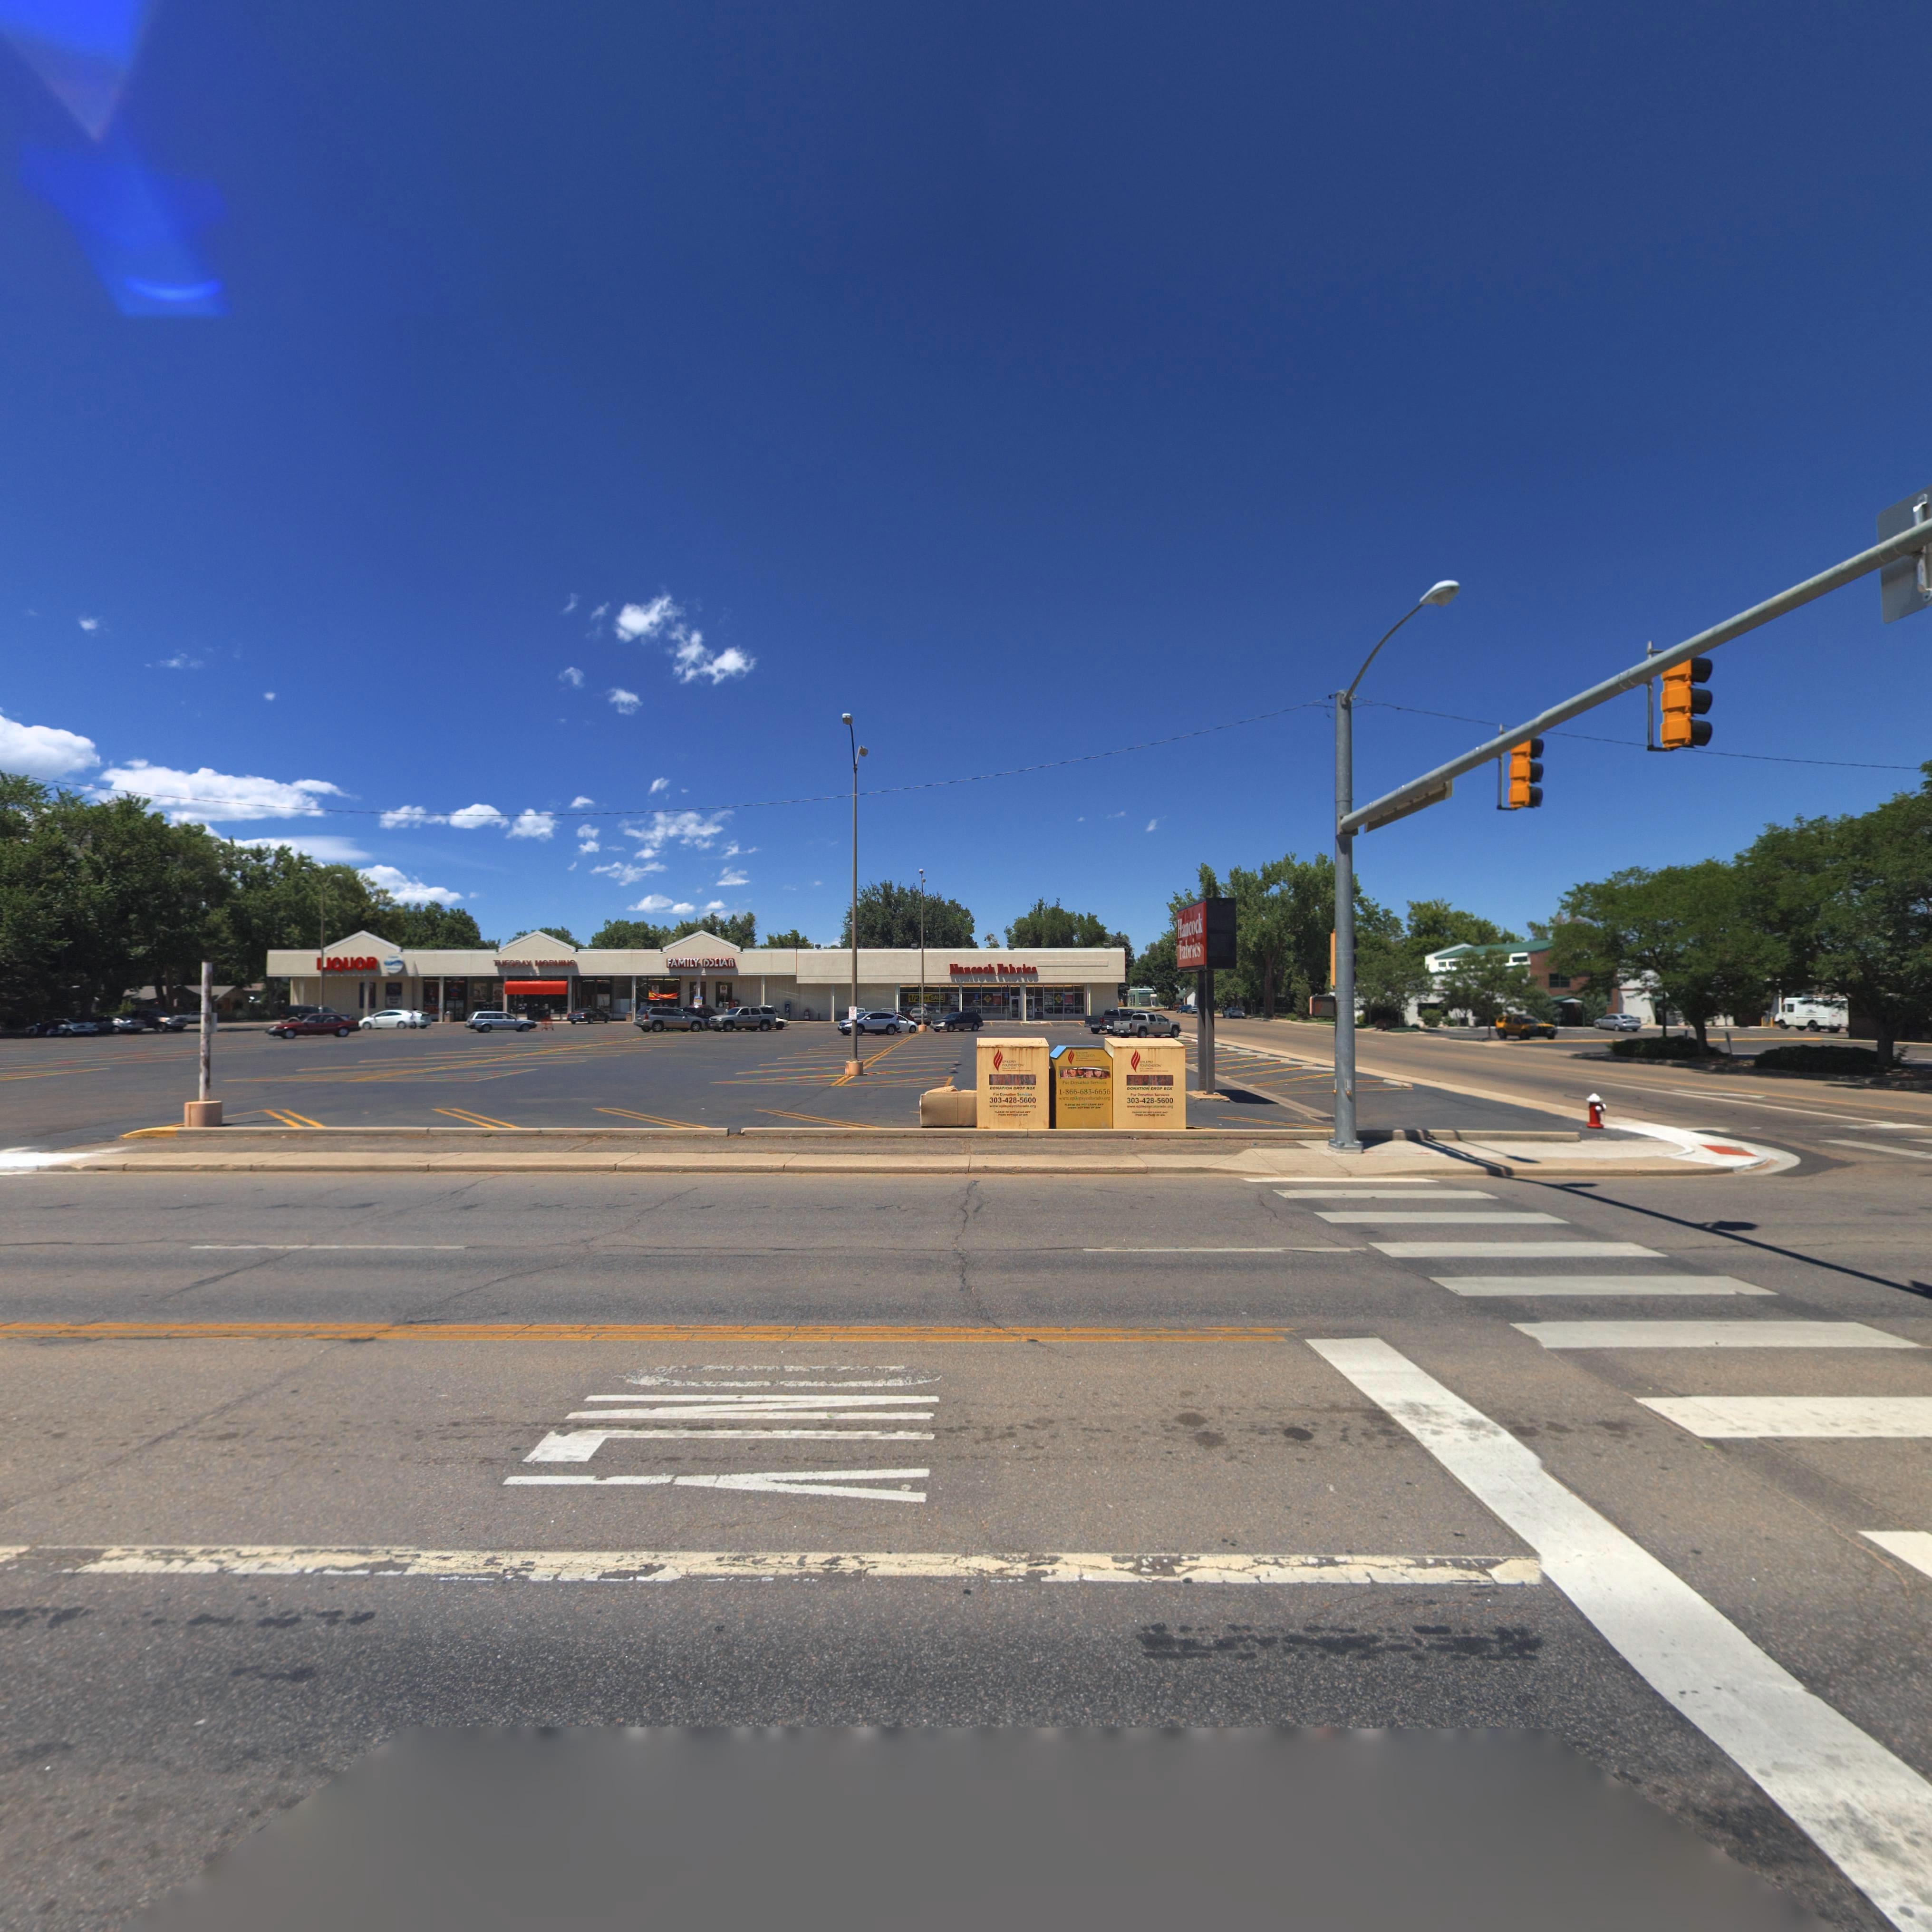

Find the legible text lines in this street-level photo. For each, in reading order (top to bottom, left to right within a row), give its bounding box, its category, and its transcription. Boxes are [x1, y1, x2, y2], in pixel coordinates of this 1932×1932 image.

[1177, 911, 1203, 939] BusinessName: Hancock
[1178, 937, 1201, 960] BusinessName: Fabrics
[316, 956, 378, 972] StreetNumber: *IQUOR
[493, 959, 576, 966] BusinessName: TUESDAY MO*NING
[667, 958, 734, 967] StreetNumber: FAMILY DOLLAR
[948, 963, 1037, 975] BusinessName: Hancock Fabrics